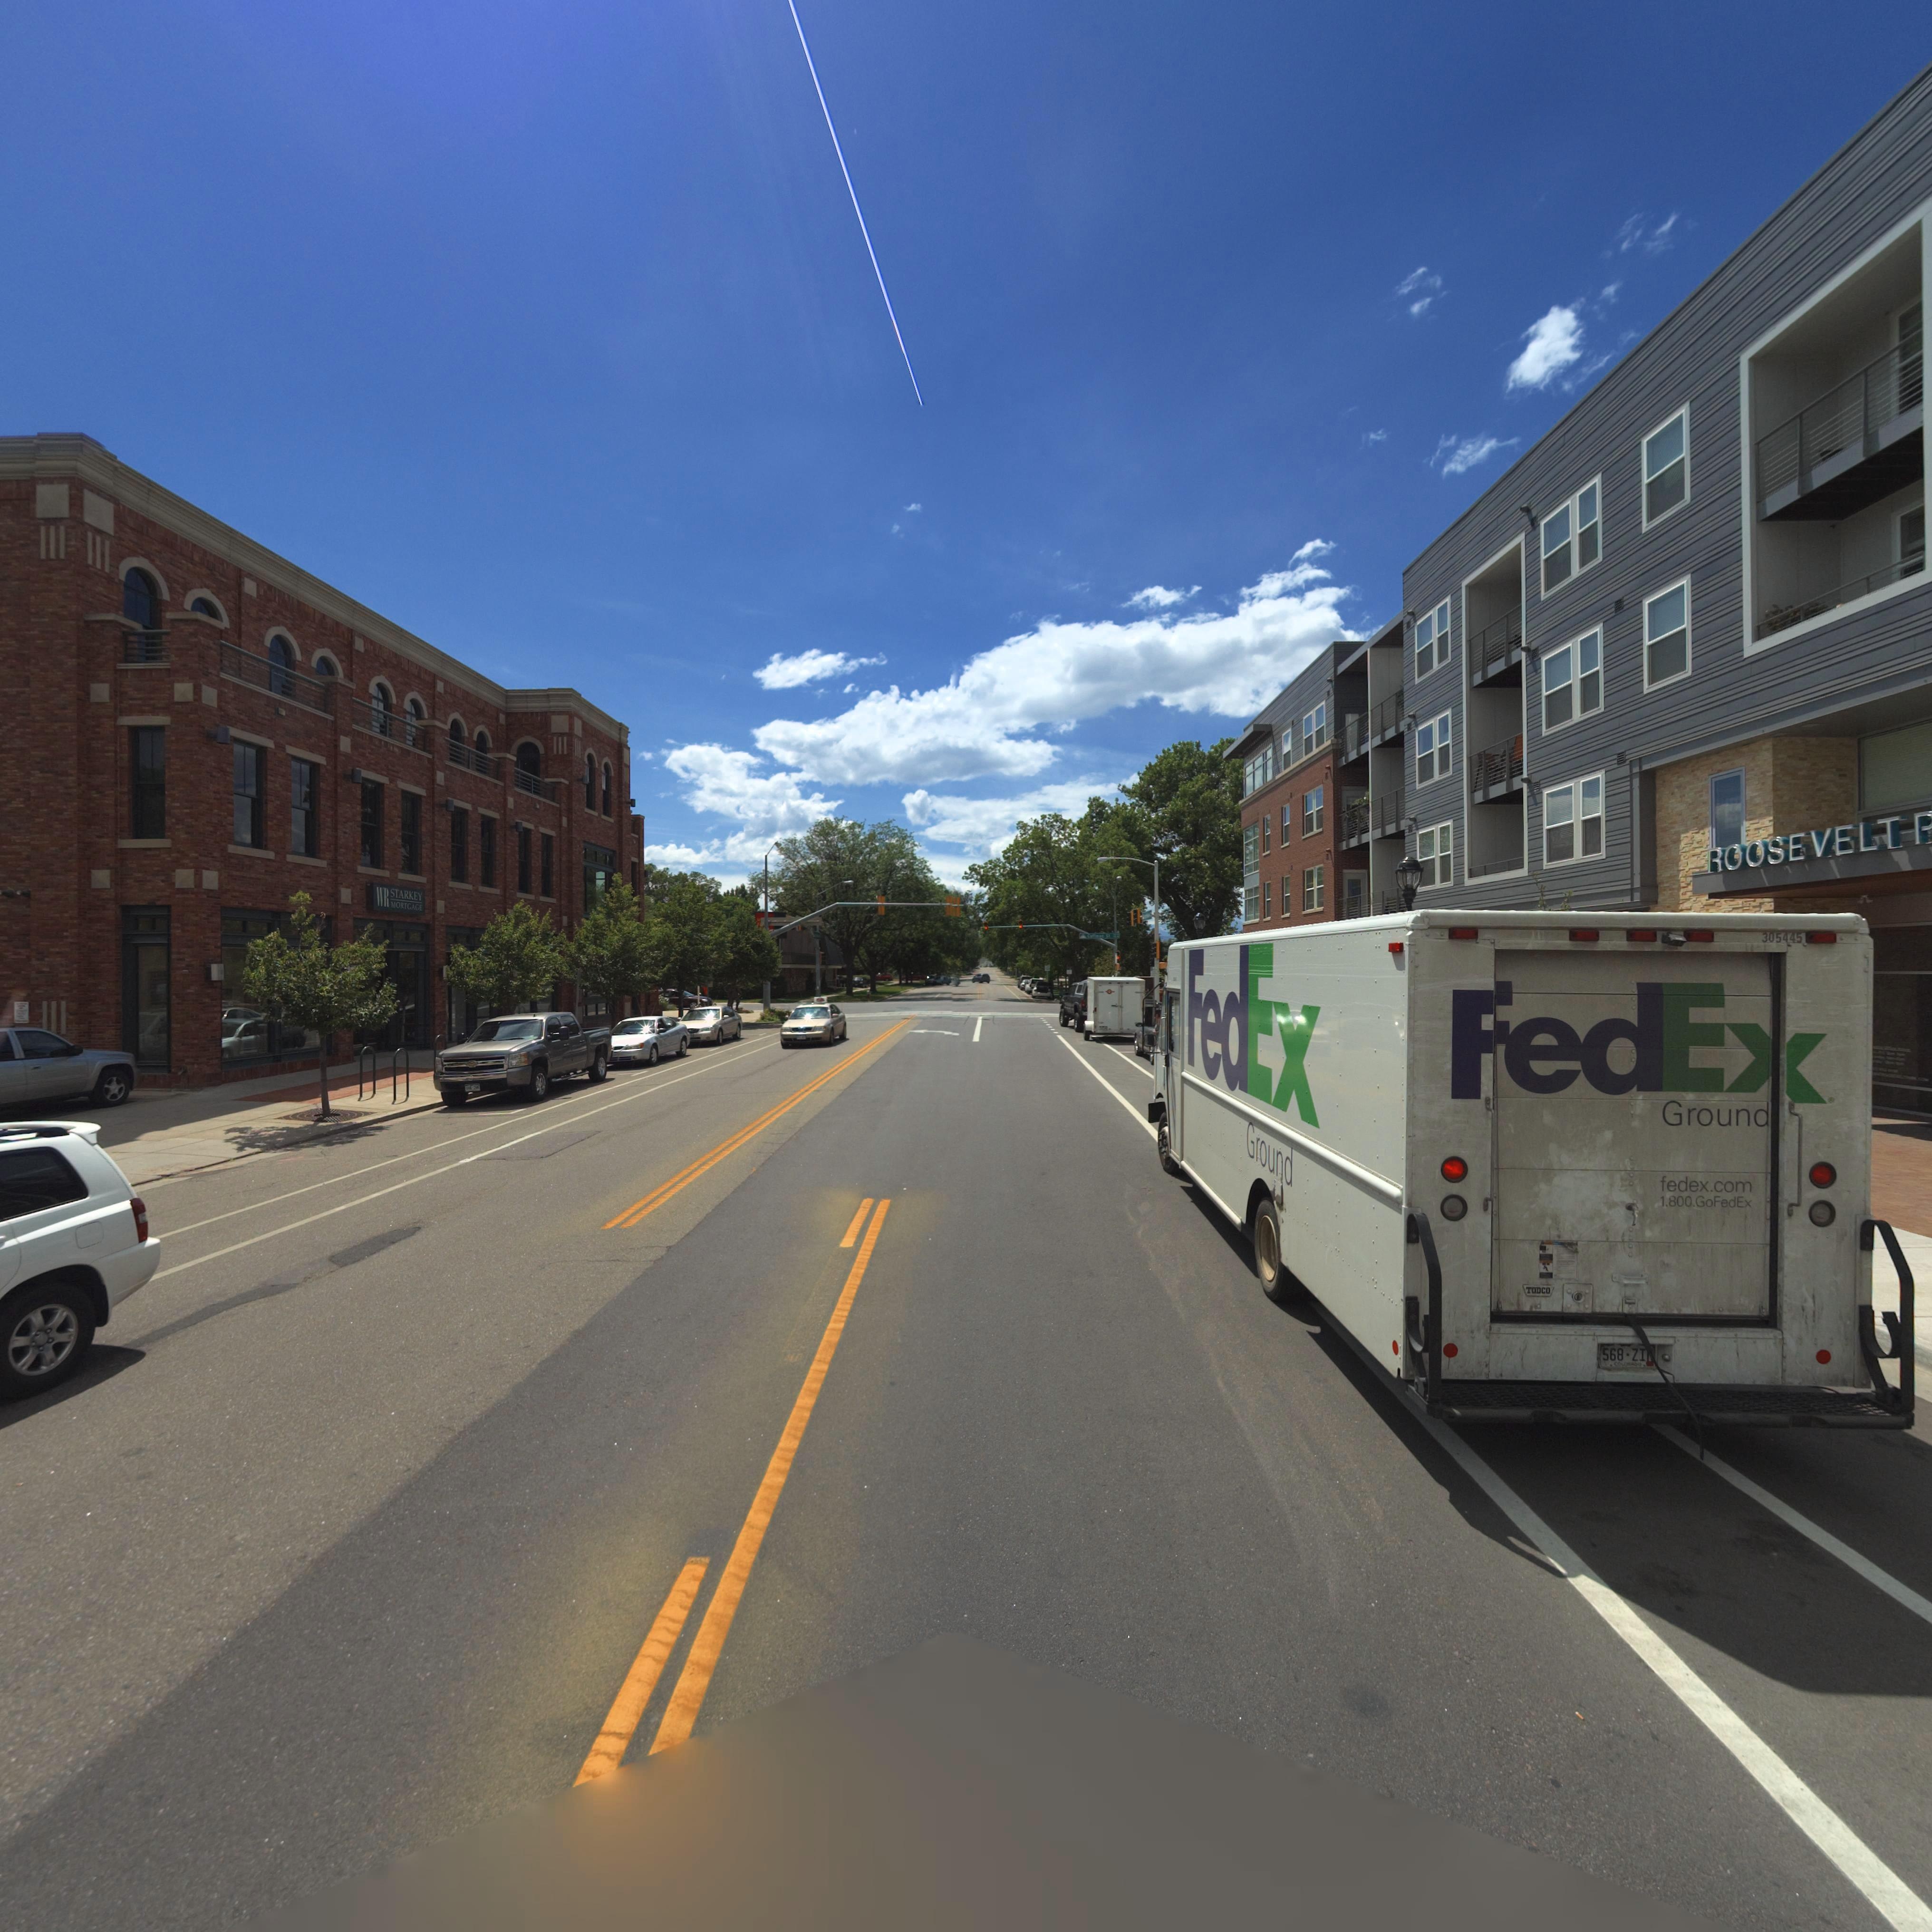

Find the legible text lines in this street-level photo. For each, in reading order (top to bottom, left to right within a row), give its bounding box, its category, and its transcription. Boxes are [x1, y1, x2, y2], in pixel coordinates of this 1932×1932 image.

[1707, 815, 1902, 873] BusinessName: ROOSEVELT
[390, 888, 423, 900] BusinessName: STARKEY
[391, 901, 422, 910] BusinessName: MORTGAGE
[1087, 934, 1110, 938] StreetName: Coff*an St